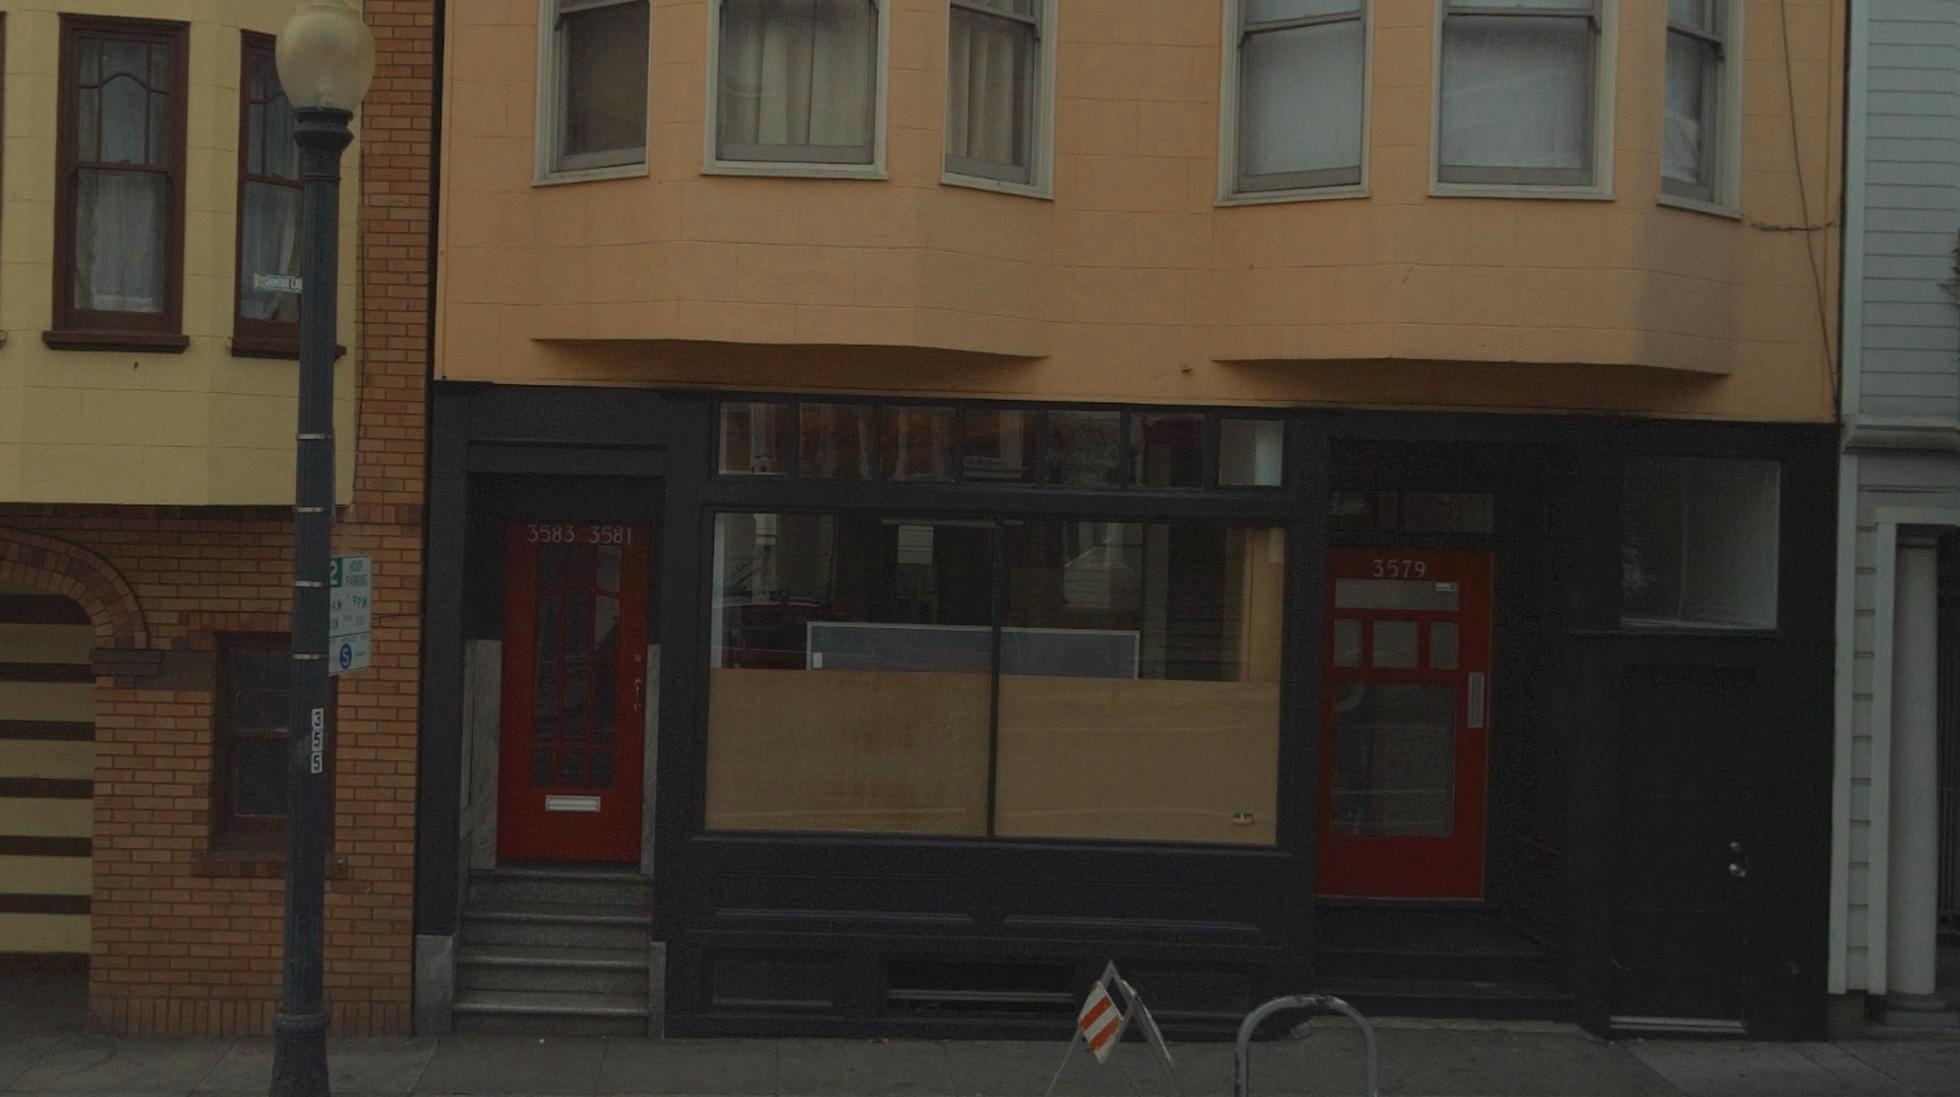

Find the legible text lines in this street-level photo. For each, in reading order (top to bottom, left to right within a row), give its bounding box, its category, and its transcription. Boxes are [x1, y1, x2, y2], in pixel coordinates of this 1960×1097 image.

[526, 522, 577, 544] StreetNumber: 3583
[586, 524, 633, 547] StreetNumber: 3581
[348, 558, 364, 573] None: HOUR
[1371, 558, 1427, 580] StreetNumber: 3579
[344, 572, 368, 589] None: PARKING
[351, 593, 368, 610] None: 9PM
[340, 646, 351, 668] None: S
[312, 709, 323, 773] None: 355